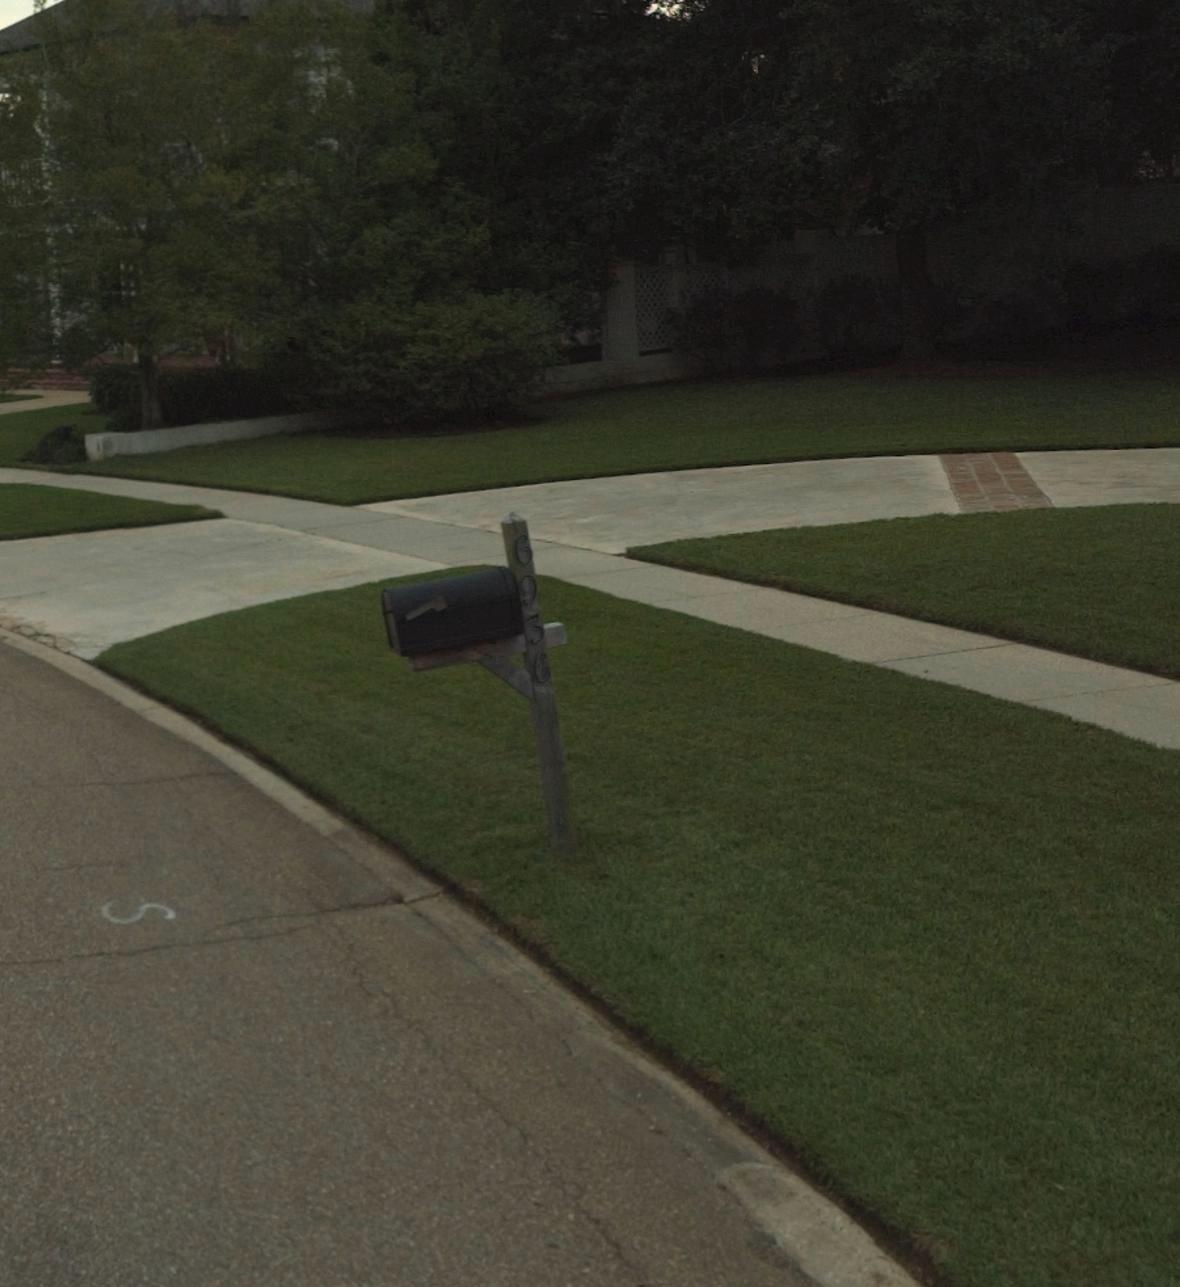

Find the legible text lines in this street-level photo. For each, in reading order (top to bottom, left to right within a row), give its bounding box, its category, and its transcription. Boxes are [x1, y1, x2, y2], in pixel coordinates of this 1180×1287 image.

[511, 532, 555, 687] StreetNumber: 6936